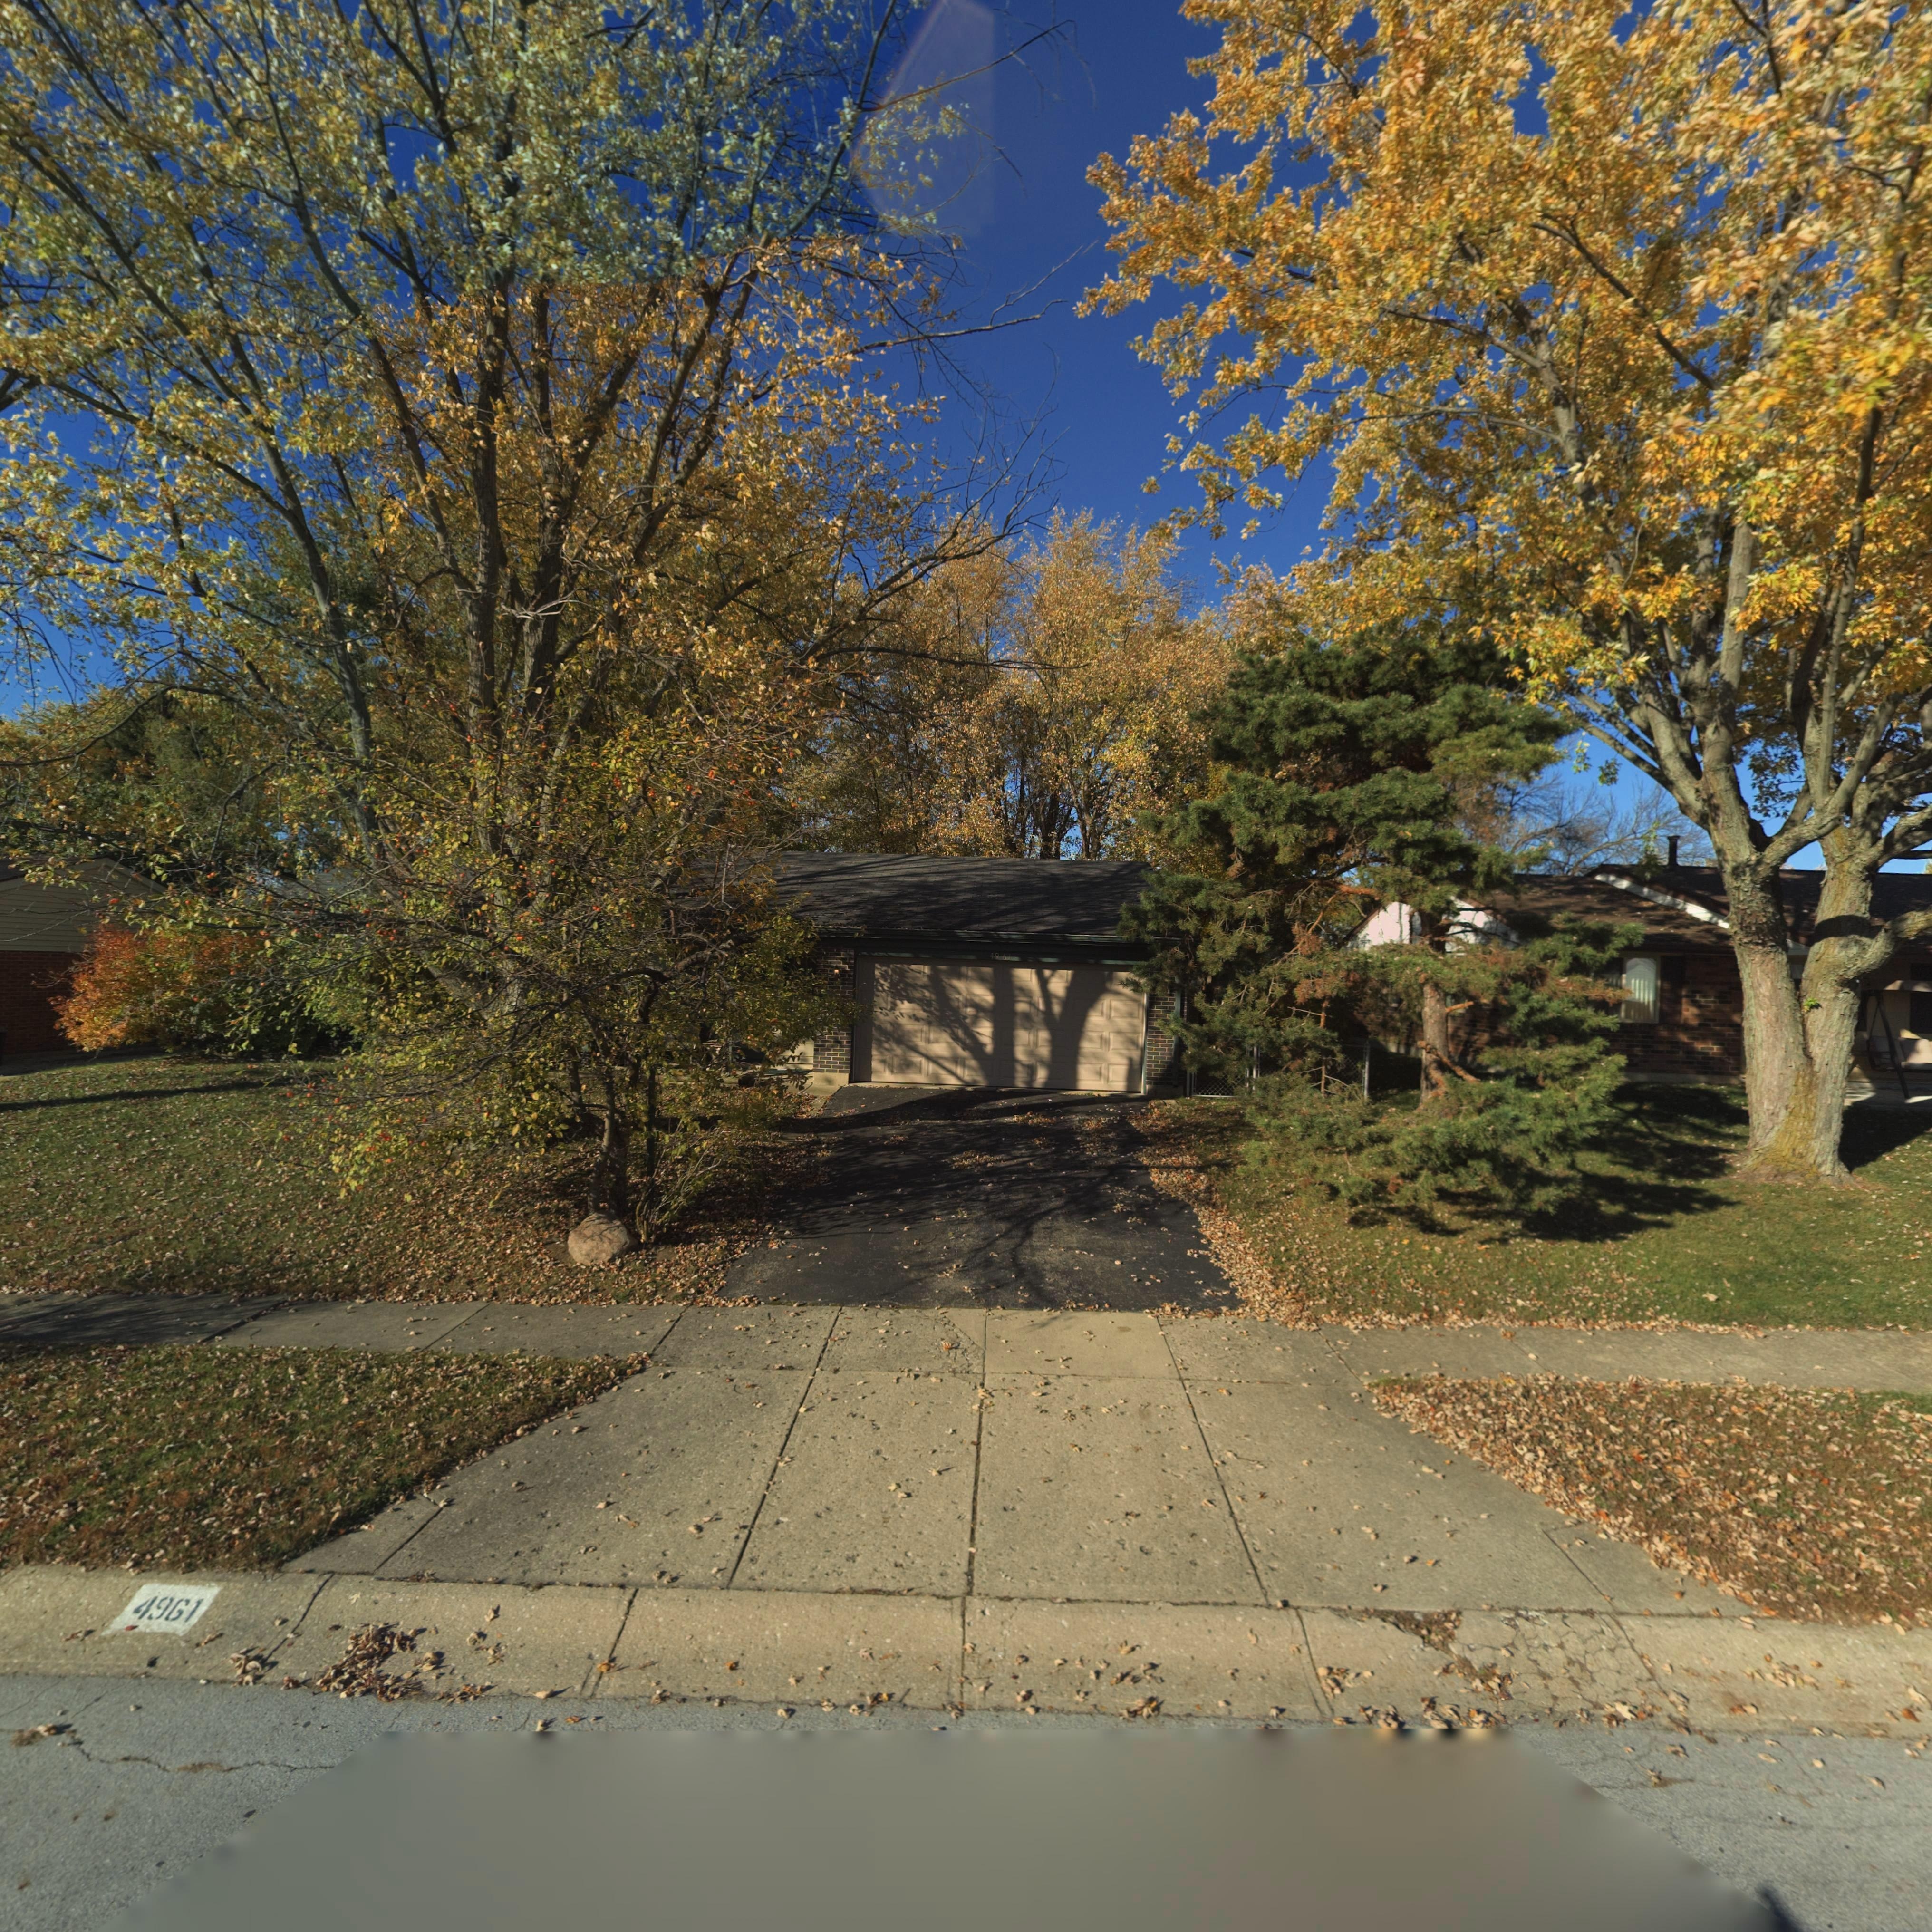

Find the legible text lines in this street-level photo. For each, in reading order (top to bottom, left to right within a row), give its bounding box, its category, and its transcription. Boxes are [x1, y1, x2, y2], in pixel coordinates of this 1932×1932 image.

[988, 952, 1012, 961] StreetNumber: 49 61
[131, 1594, 205, 1625] StreetNumber: 4961